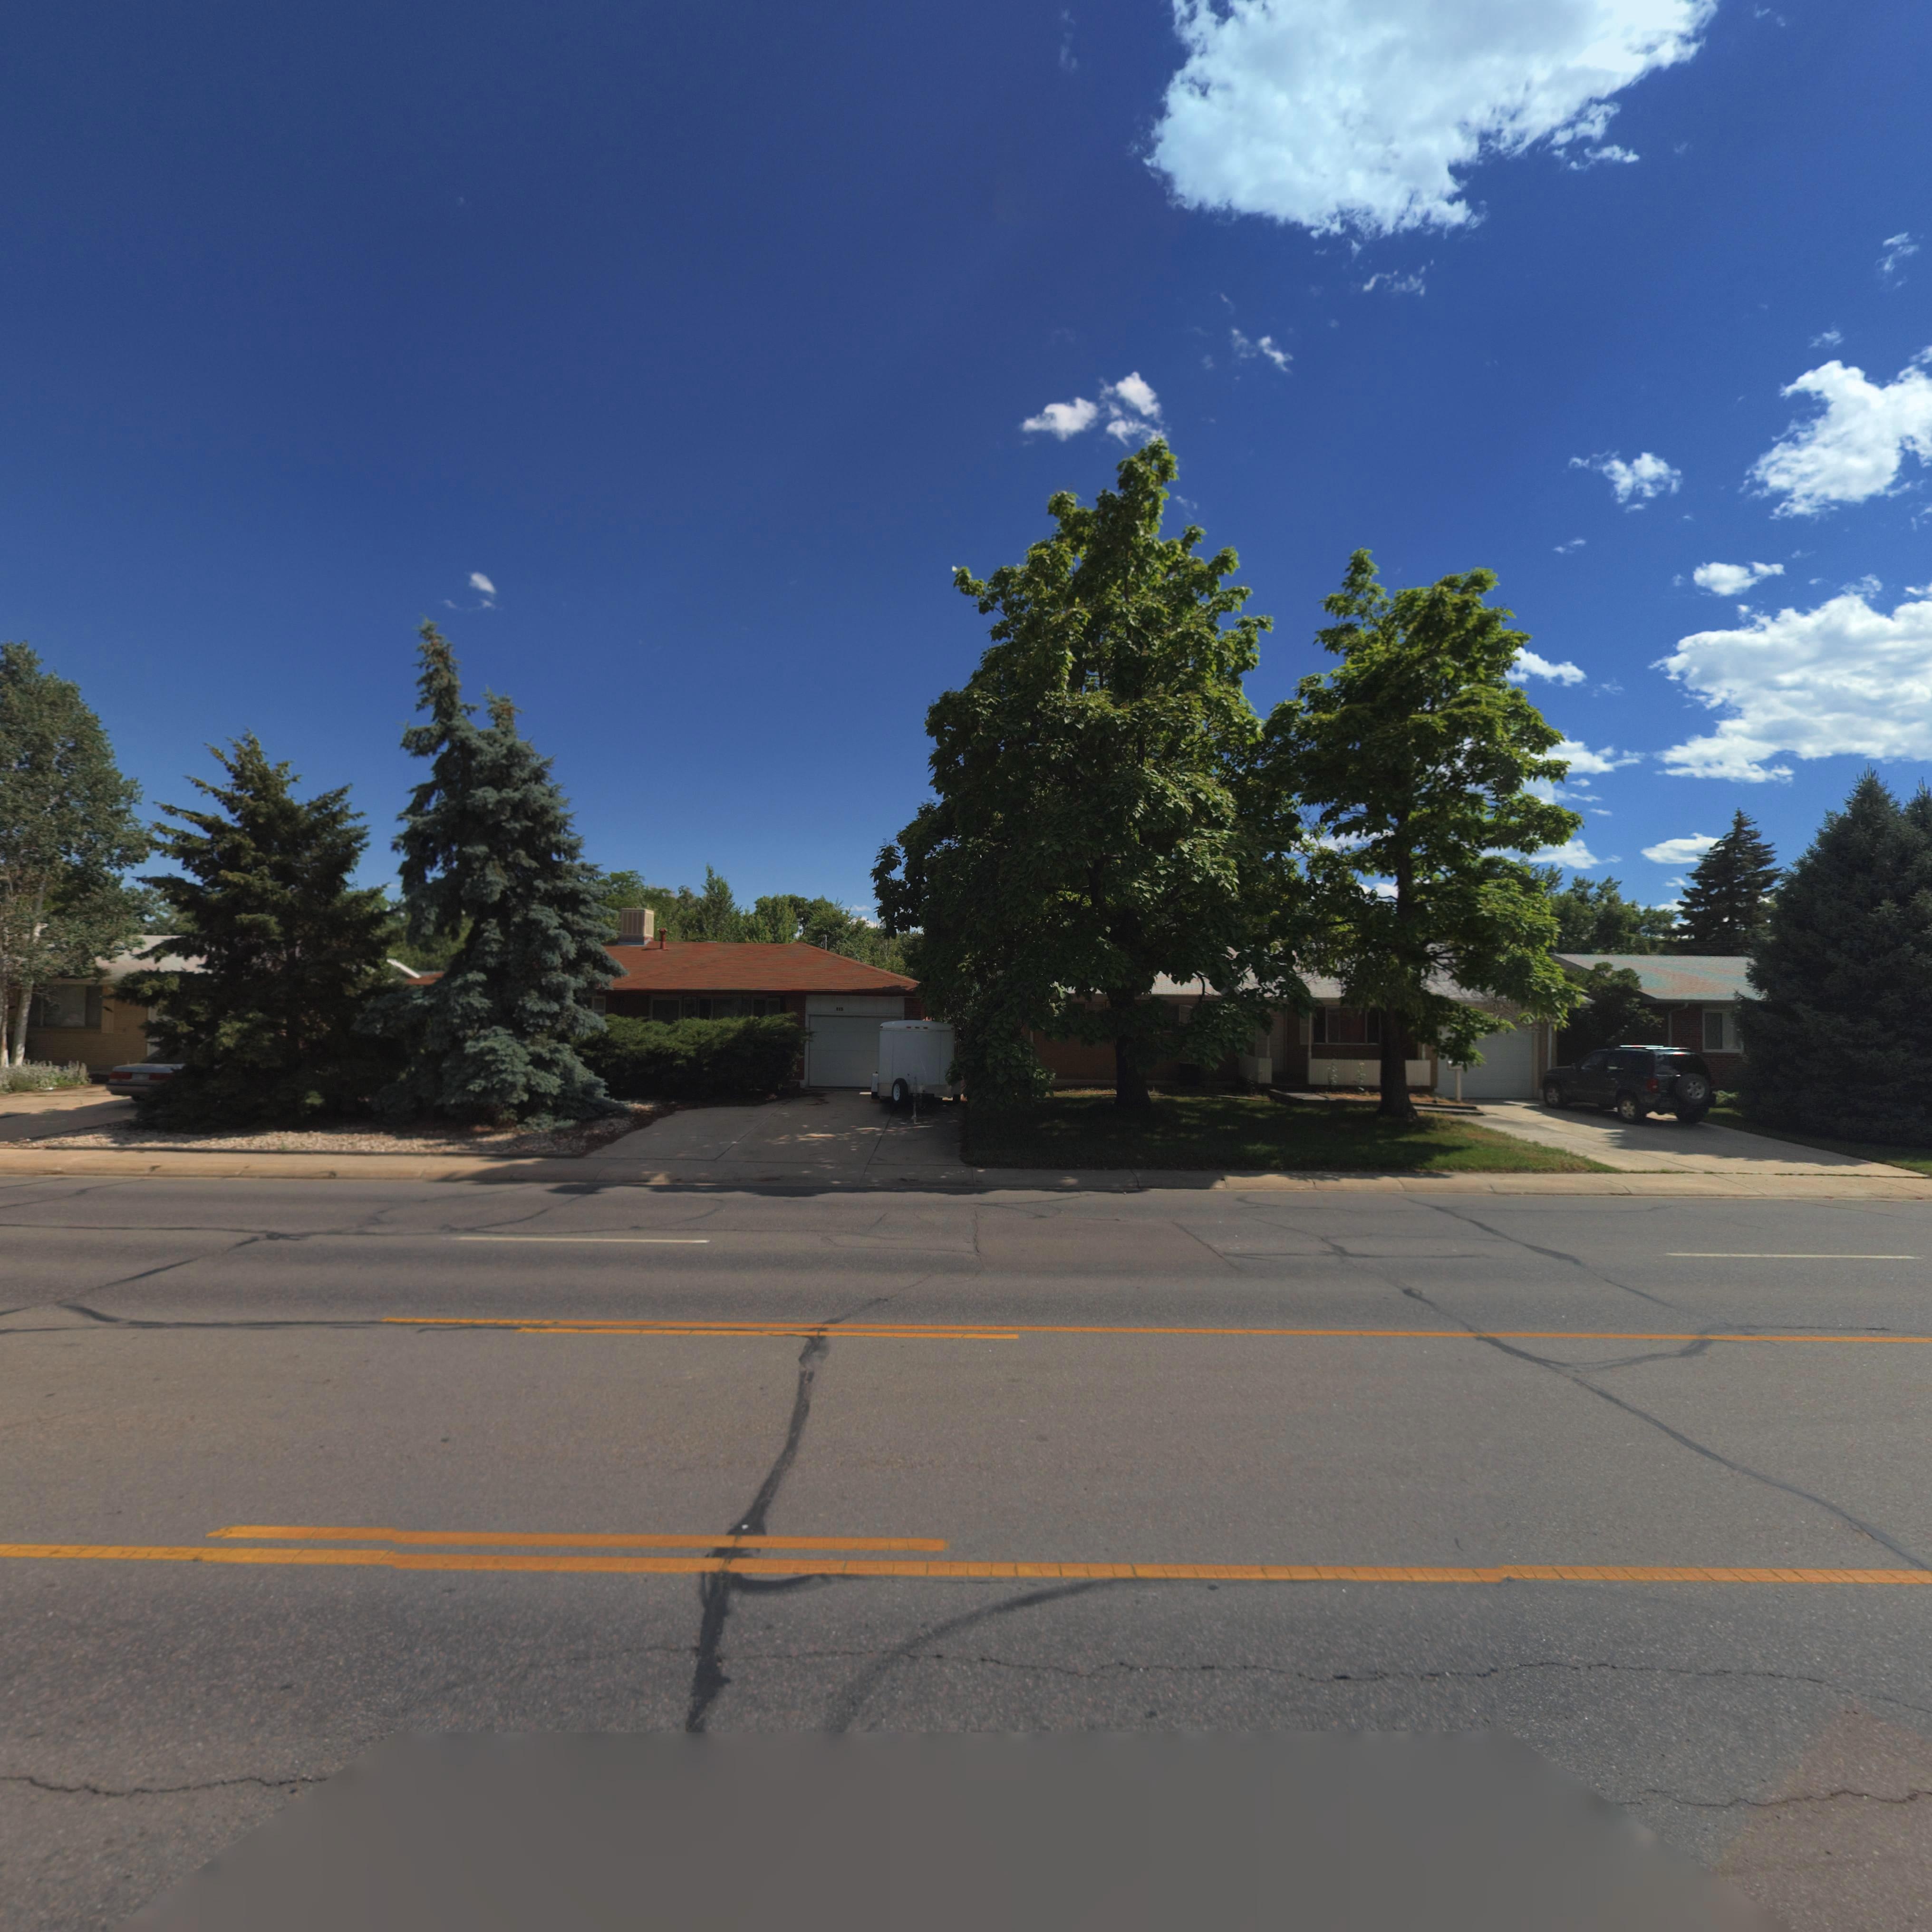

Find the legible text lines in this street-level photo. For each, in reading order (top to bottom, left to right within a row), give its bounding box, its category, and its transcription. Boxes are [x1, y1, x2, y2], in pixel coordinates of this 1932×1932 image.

[836, 1006, 843, 1011] StreetNumber: 115